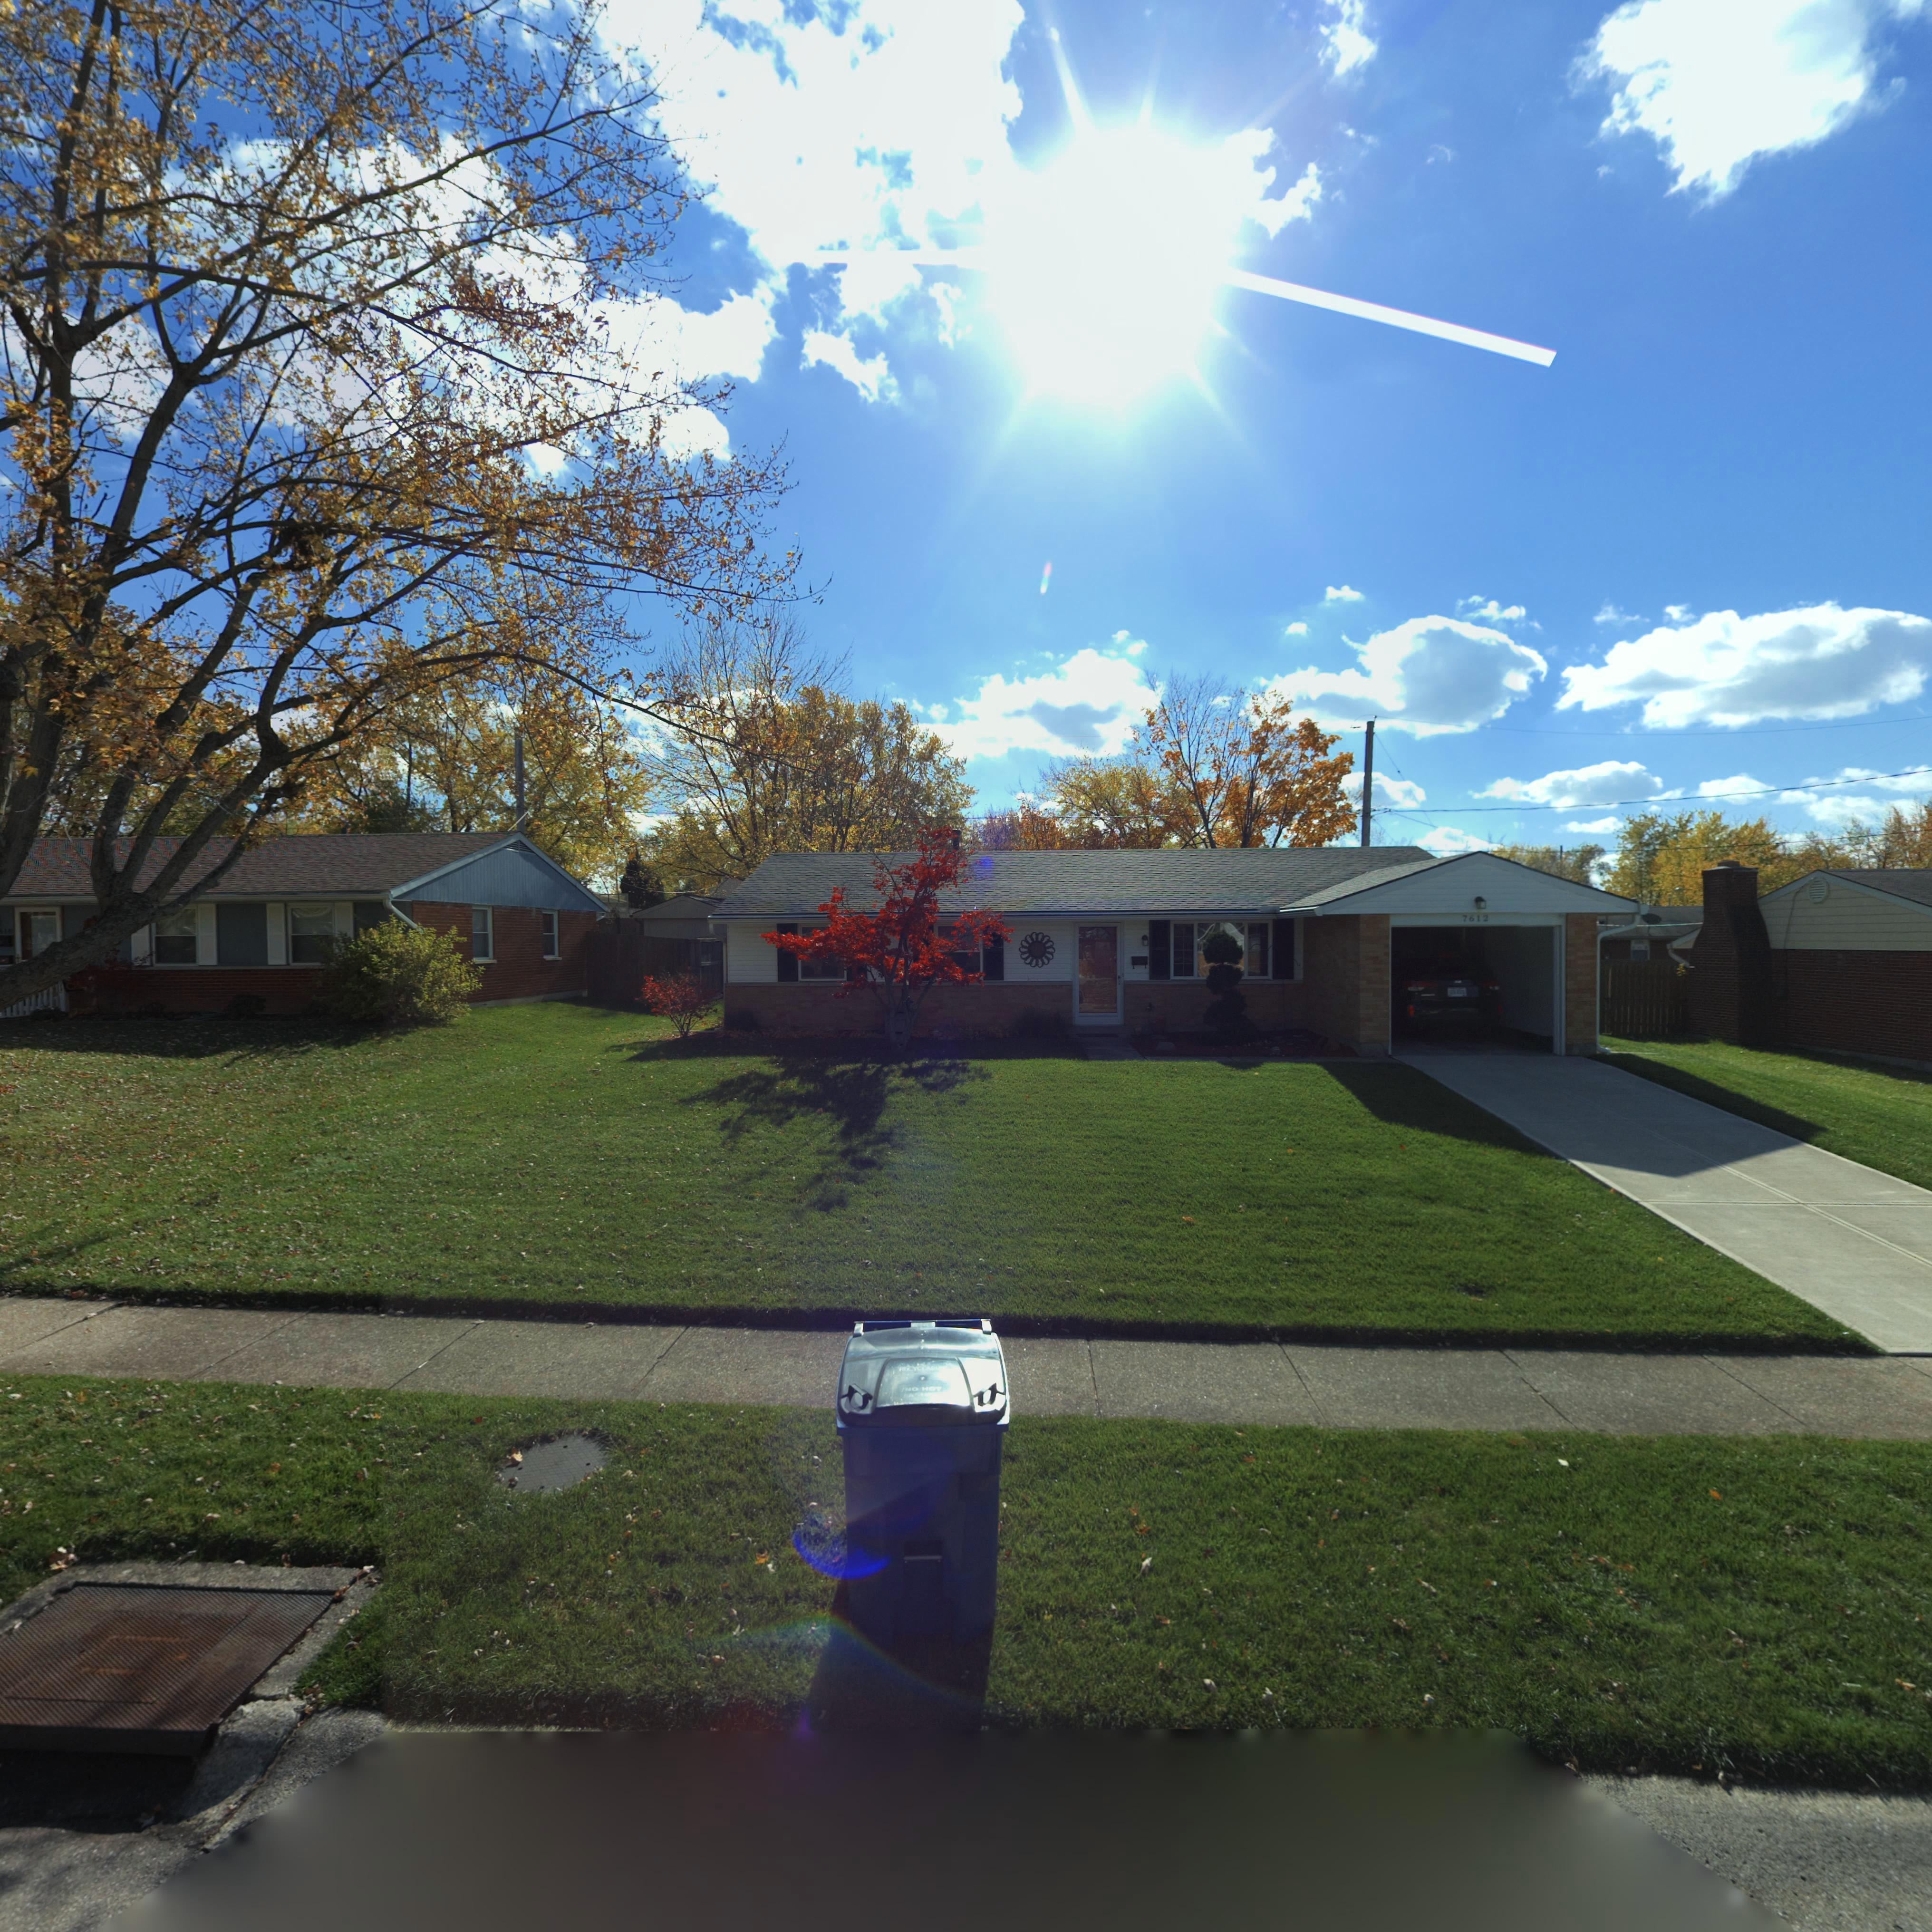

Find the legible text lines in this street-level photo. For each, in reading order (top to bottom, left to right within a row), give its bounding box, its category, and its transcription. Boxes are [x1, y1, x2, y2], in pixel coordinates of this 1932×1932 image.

[1462, 914, 1488, 922] StreetNumber: 7612
[3, 928, 13, 934] StreetNumber: 18